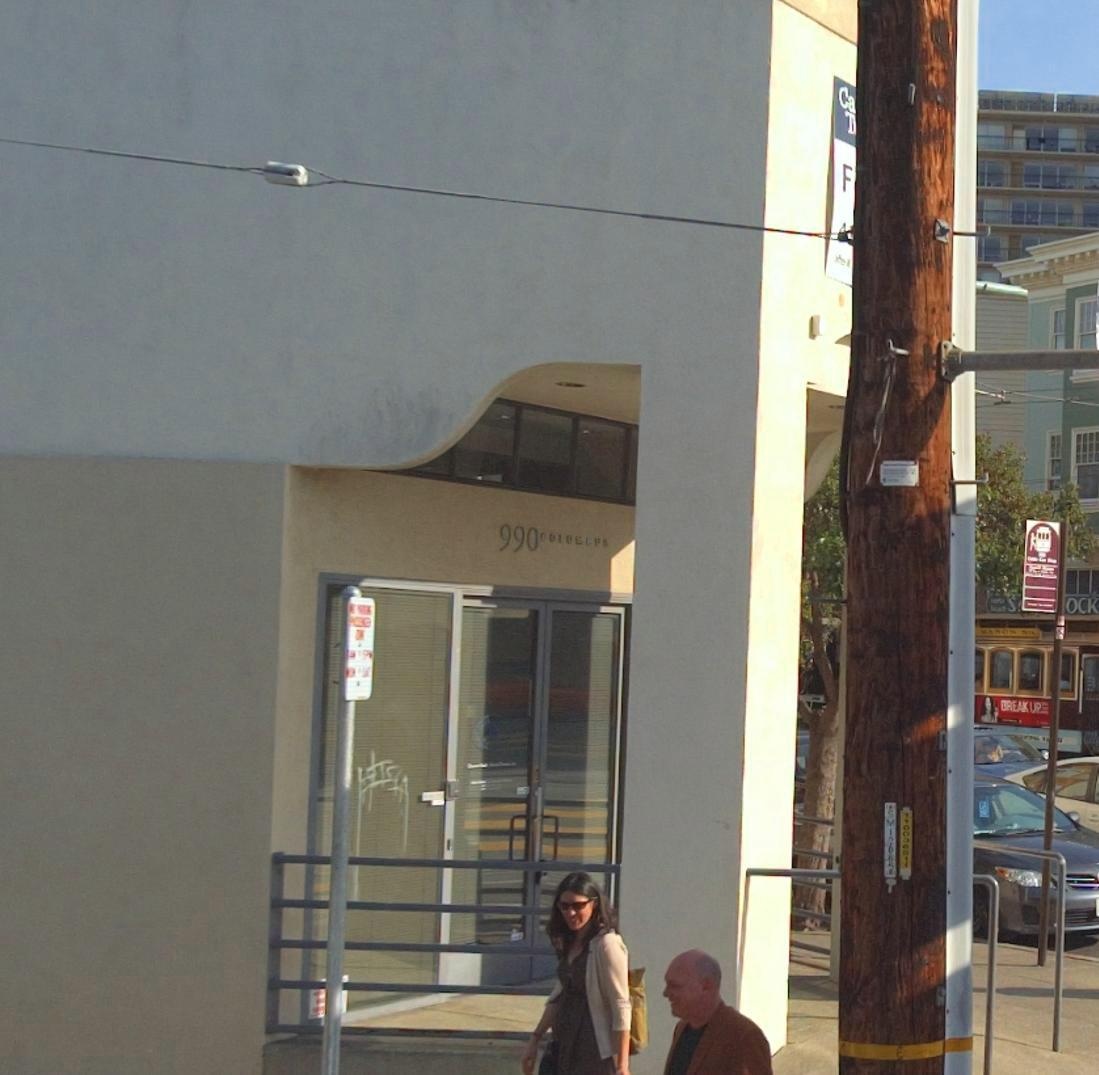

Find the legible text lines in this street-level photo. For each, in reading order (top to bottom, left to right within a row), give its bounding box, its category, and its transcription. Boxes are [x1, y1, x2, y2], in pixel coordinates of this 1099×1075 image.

[837, 82, 857, 115] None: Ca
[843, 108, 857, 137] None: T
[841, 161, 855, 196] None: F
[497, 522, 539, 555] StreetNumber: 990
[540, 530, 611, 549] None: COLUMBUS
[1006, 596, 1018, 614] None: S
[1065, 596, 1099, 615] None: OCK
[999, 698, 1042, 714] None: BREAK UP
[899, 810, 913, 869] None: 1100306**